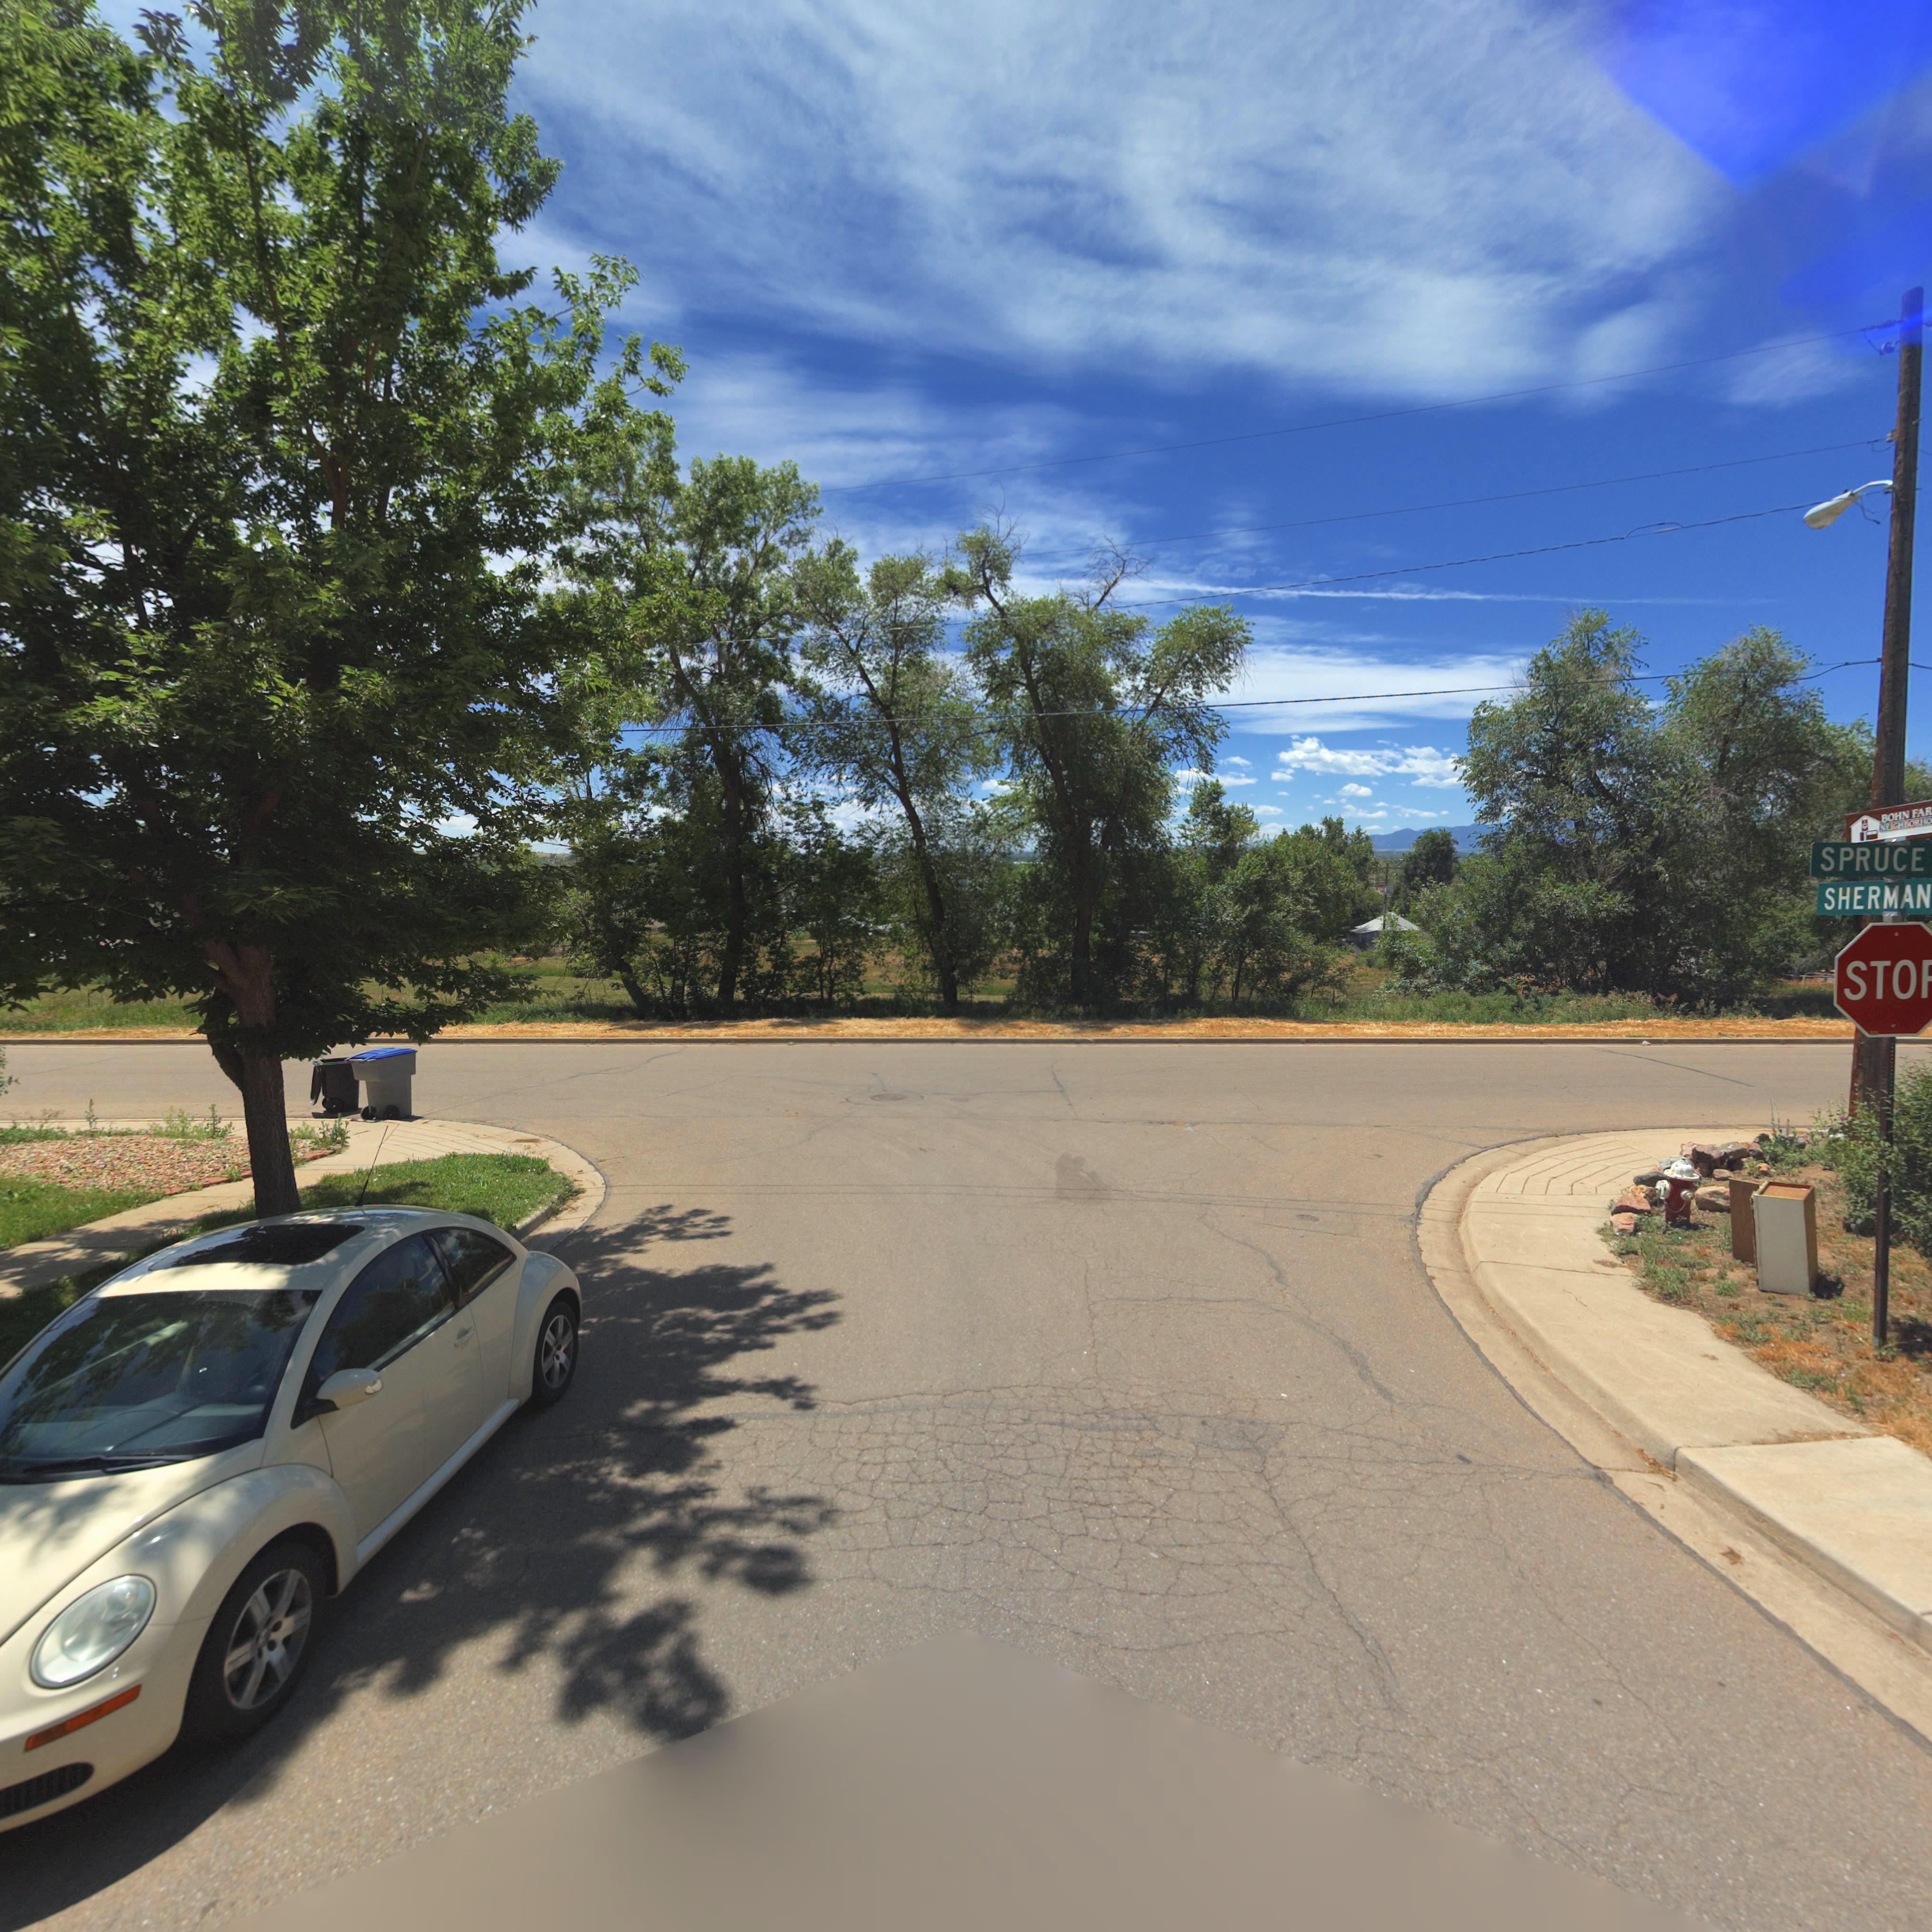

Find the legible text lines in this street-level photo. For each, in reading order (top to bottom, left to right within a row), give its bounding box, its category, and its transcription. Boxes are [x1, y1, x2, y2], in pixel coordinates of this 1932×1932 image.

[1819, 846, 1925, 871] StreetName: SPRUCE 
[1823, 883, 1931, 910] StreetName: SHERMAN 